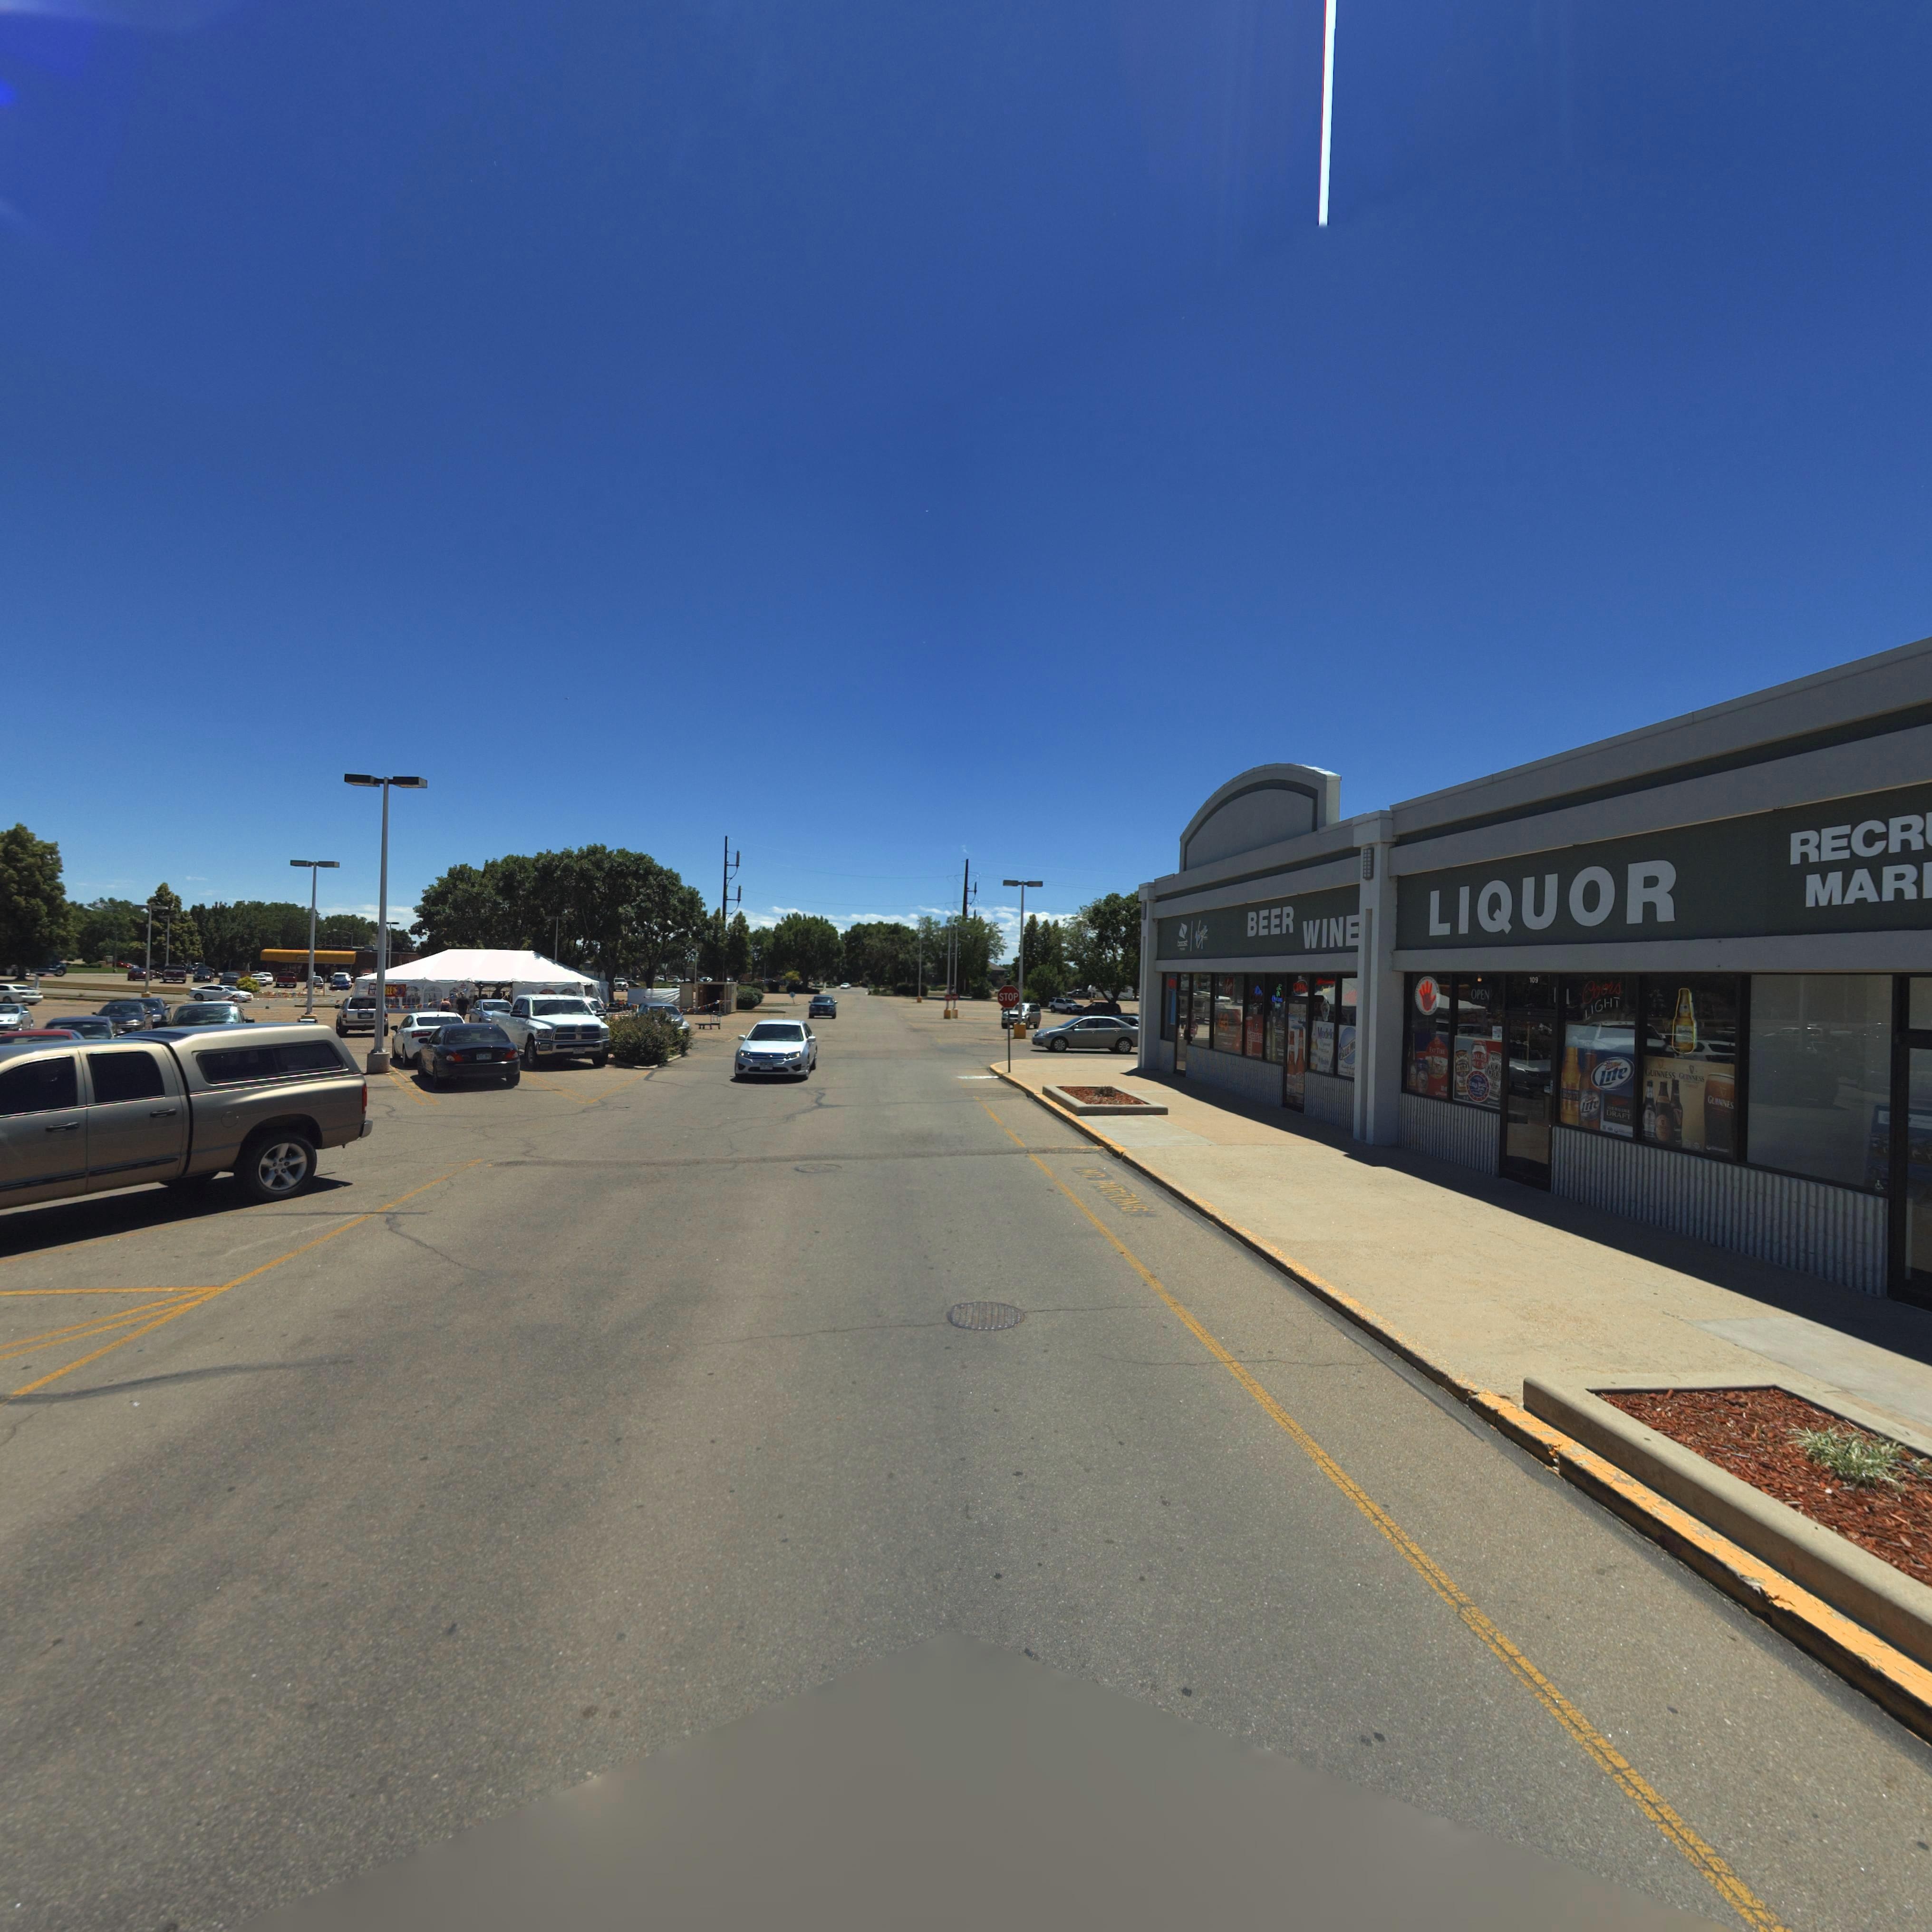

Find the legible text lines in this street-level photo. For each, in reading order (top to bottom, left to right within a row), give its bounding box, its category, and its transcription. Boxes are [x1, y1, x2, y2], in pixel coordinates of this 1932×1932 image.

[1789, 813, 1925, 865] BusinessName: RECR
[1805, 863, 1918, 908] BusinessName: MAR
[1177, 939, 1188, 947] BusinessName: boost
[1194, 919, 1208, 948] BusinessName: Virgin
[1225, 978, 1233, 995] BusinessName: Virgin
[1529, 976, 1538, 983] StreetNumber: 109